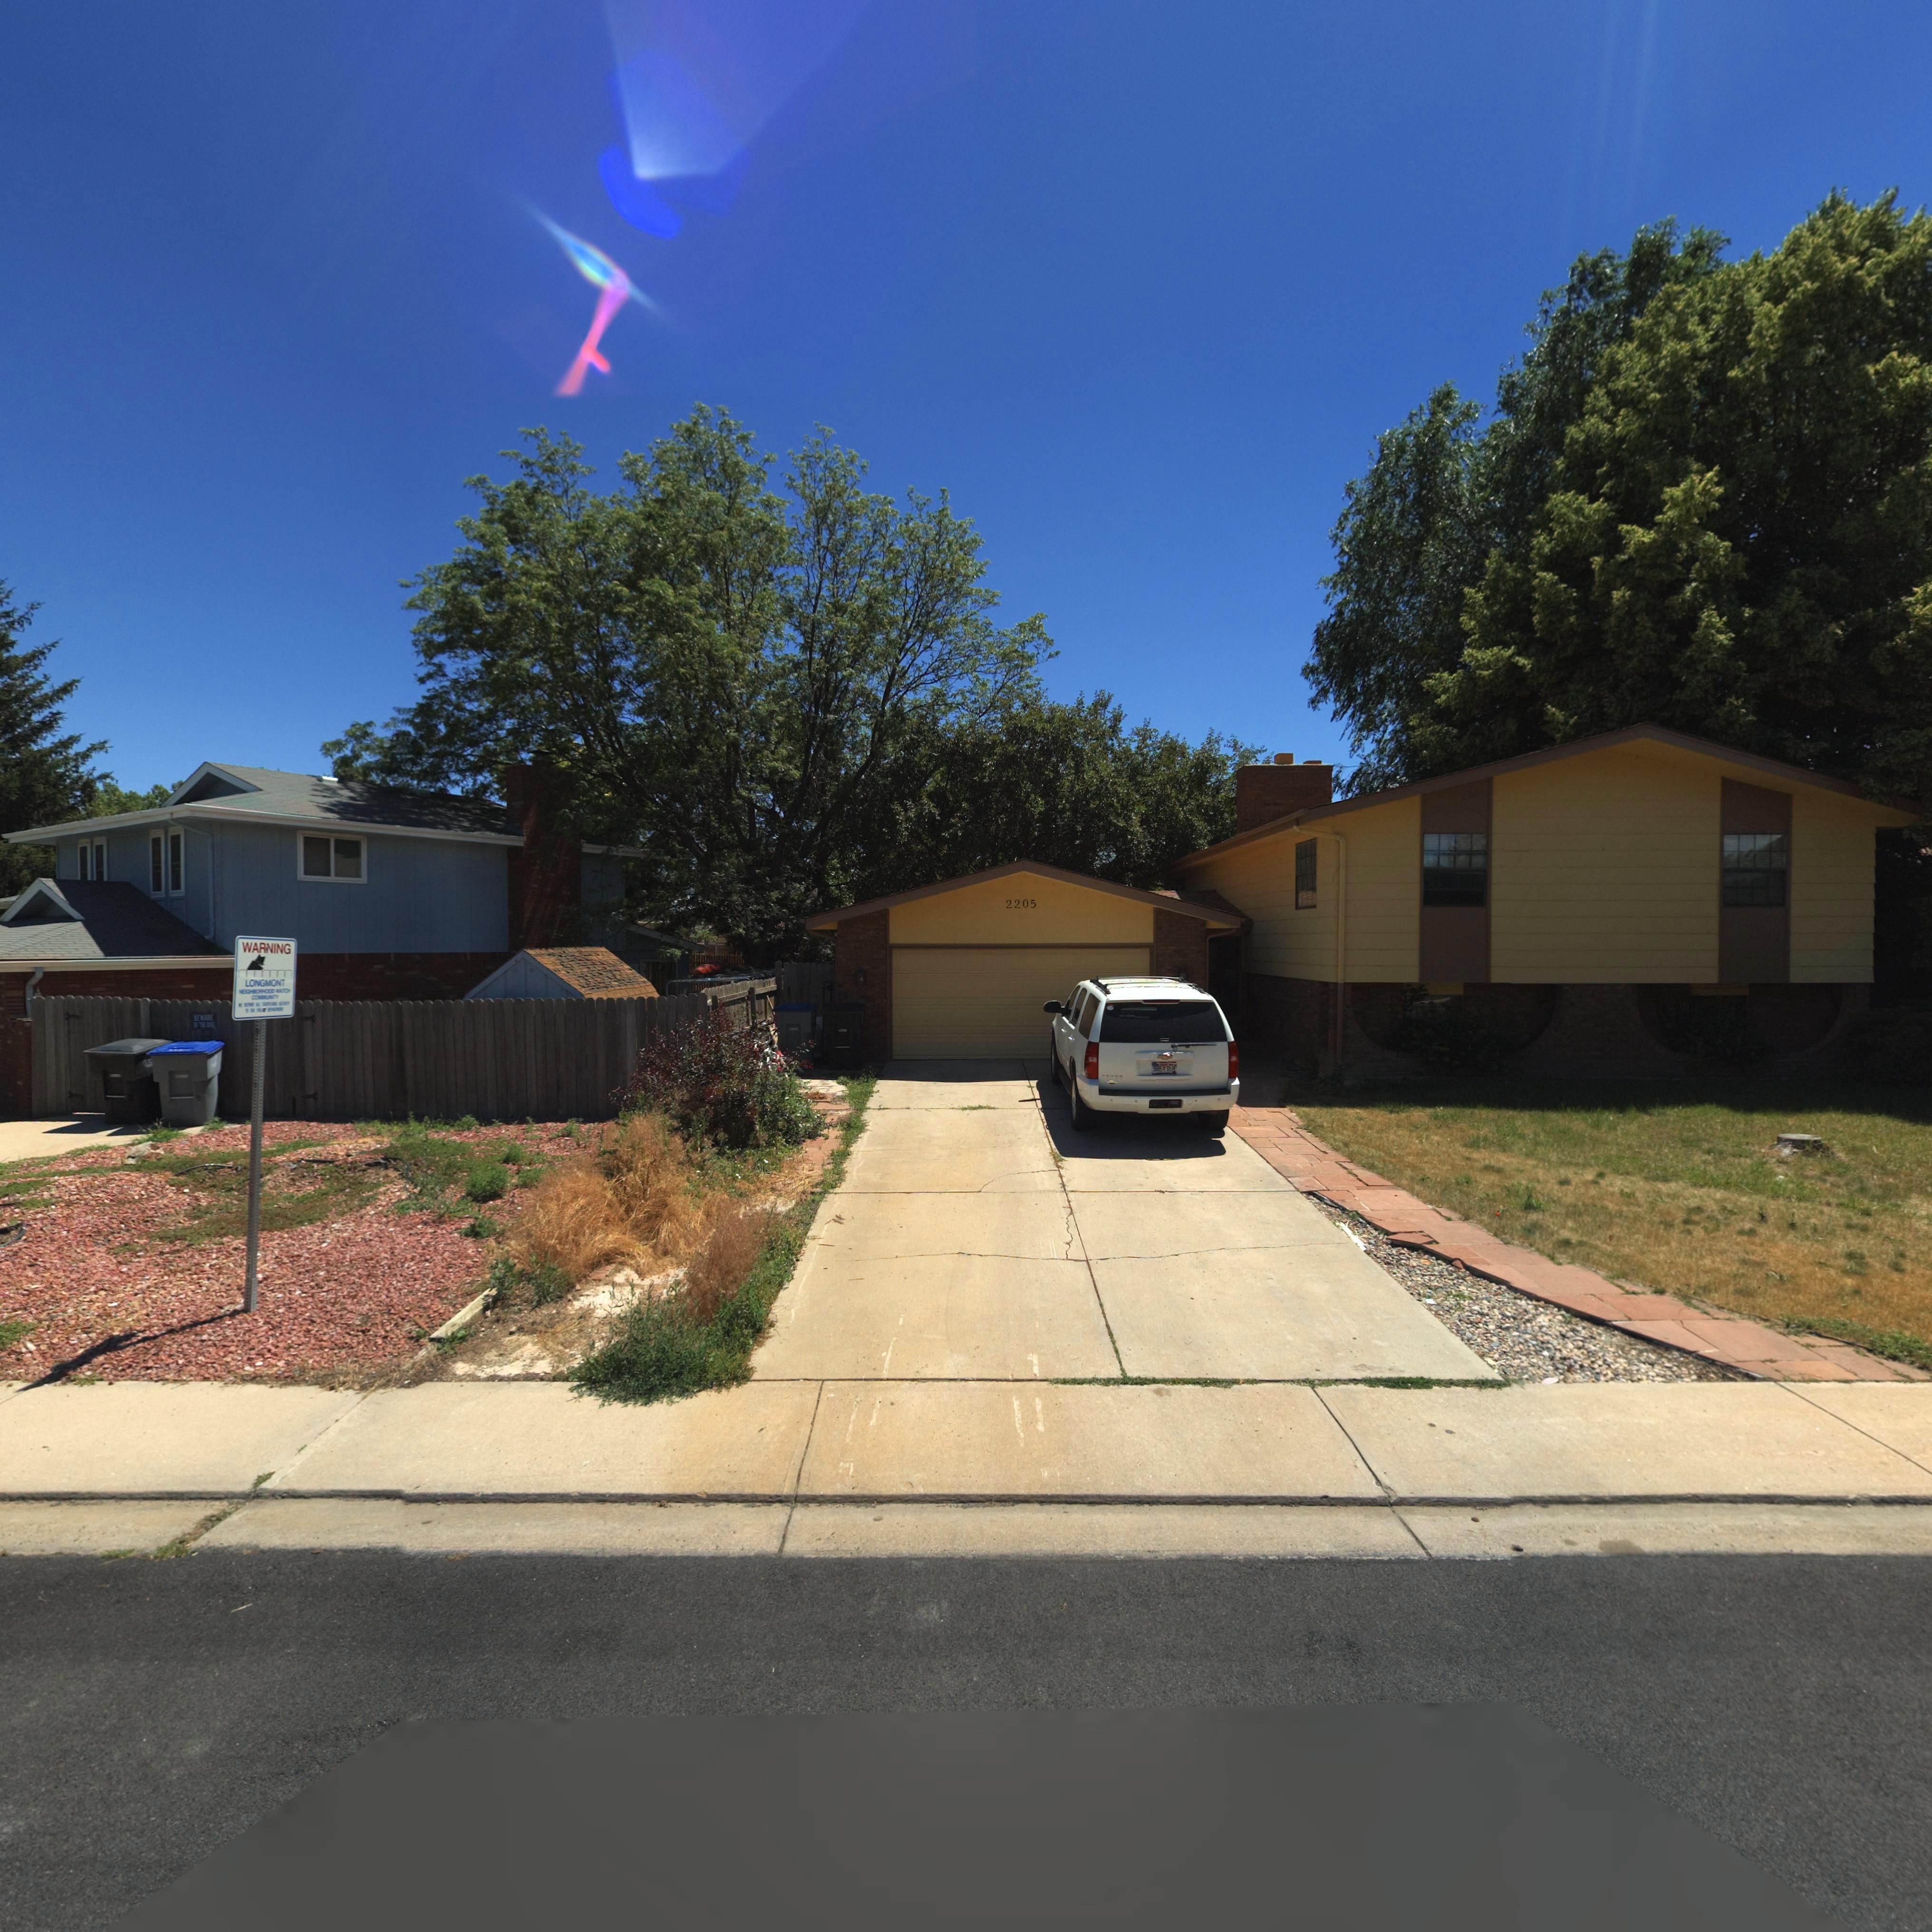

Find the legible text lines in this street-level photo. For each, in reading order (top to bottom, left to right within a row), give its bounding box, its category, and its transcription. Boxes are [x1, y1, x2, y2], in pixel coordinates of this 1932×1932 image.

[1005, 898, 1036, 908] StreetNumber: 2205